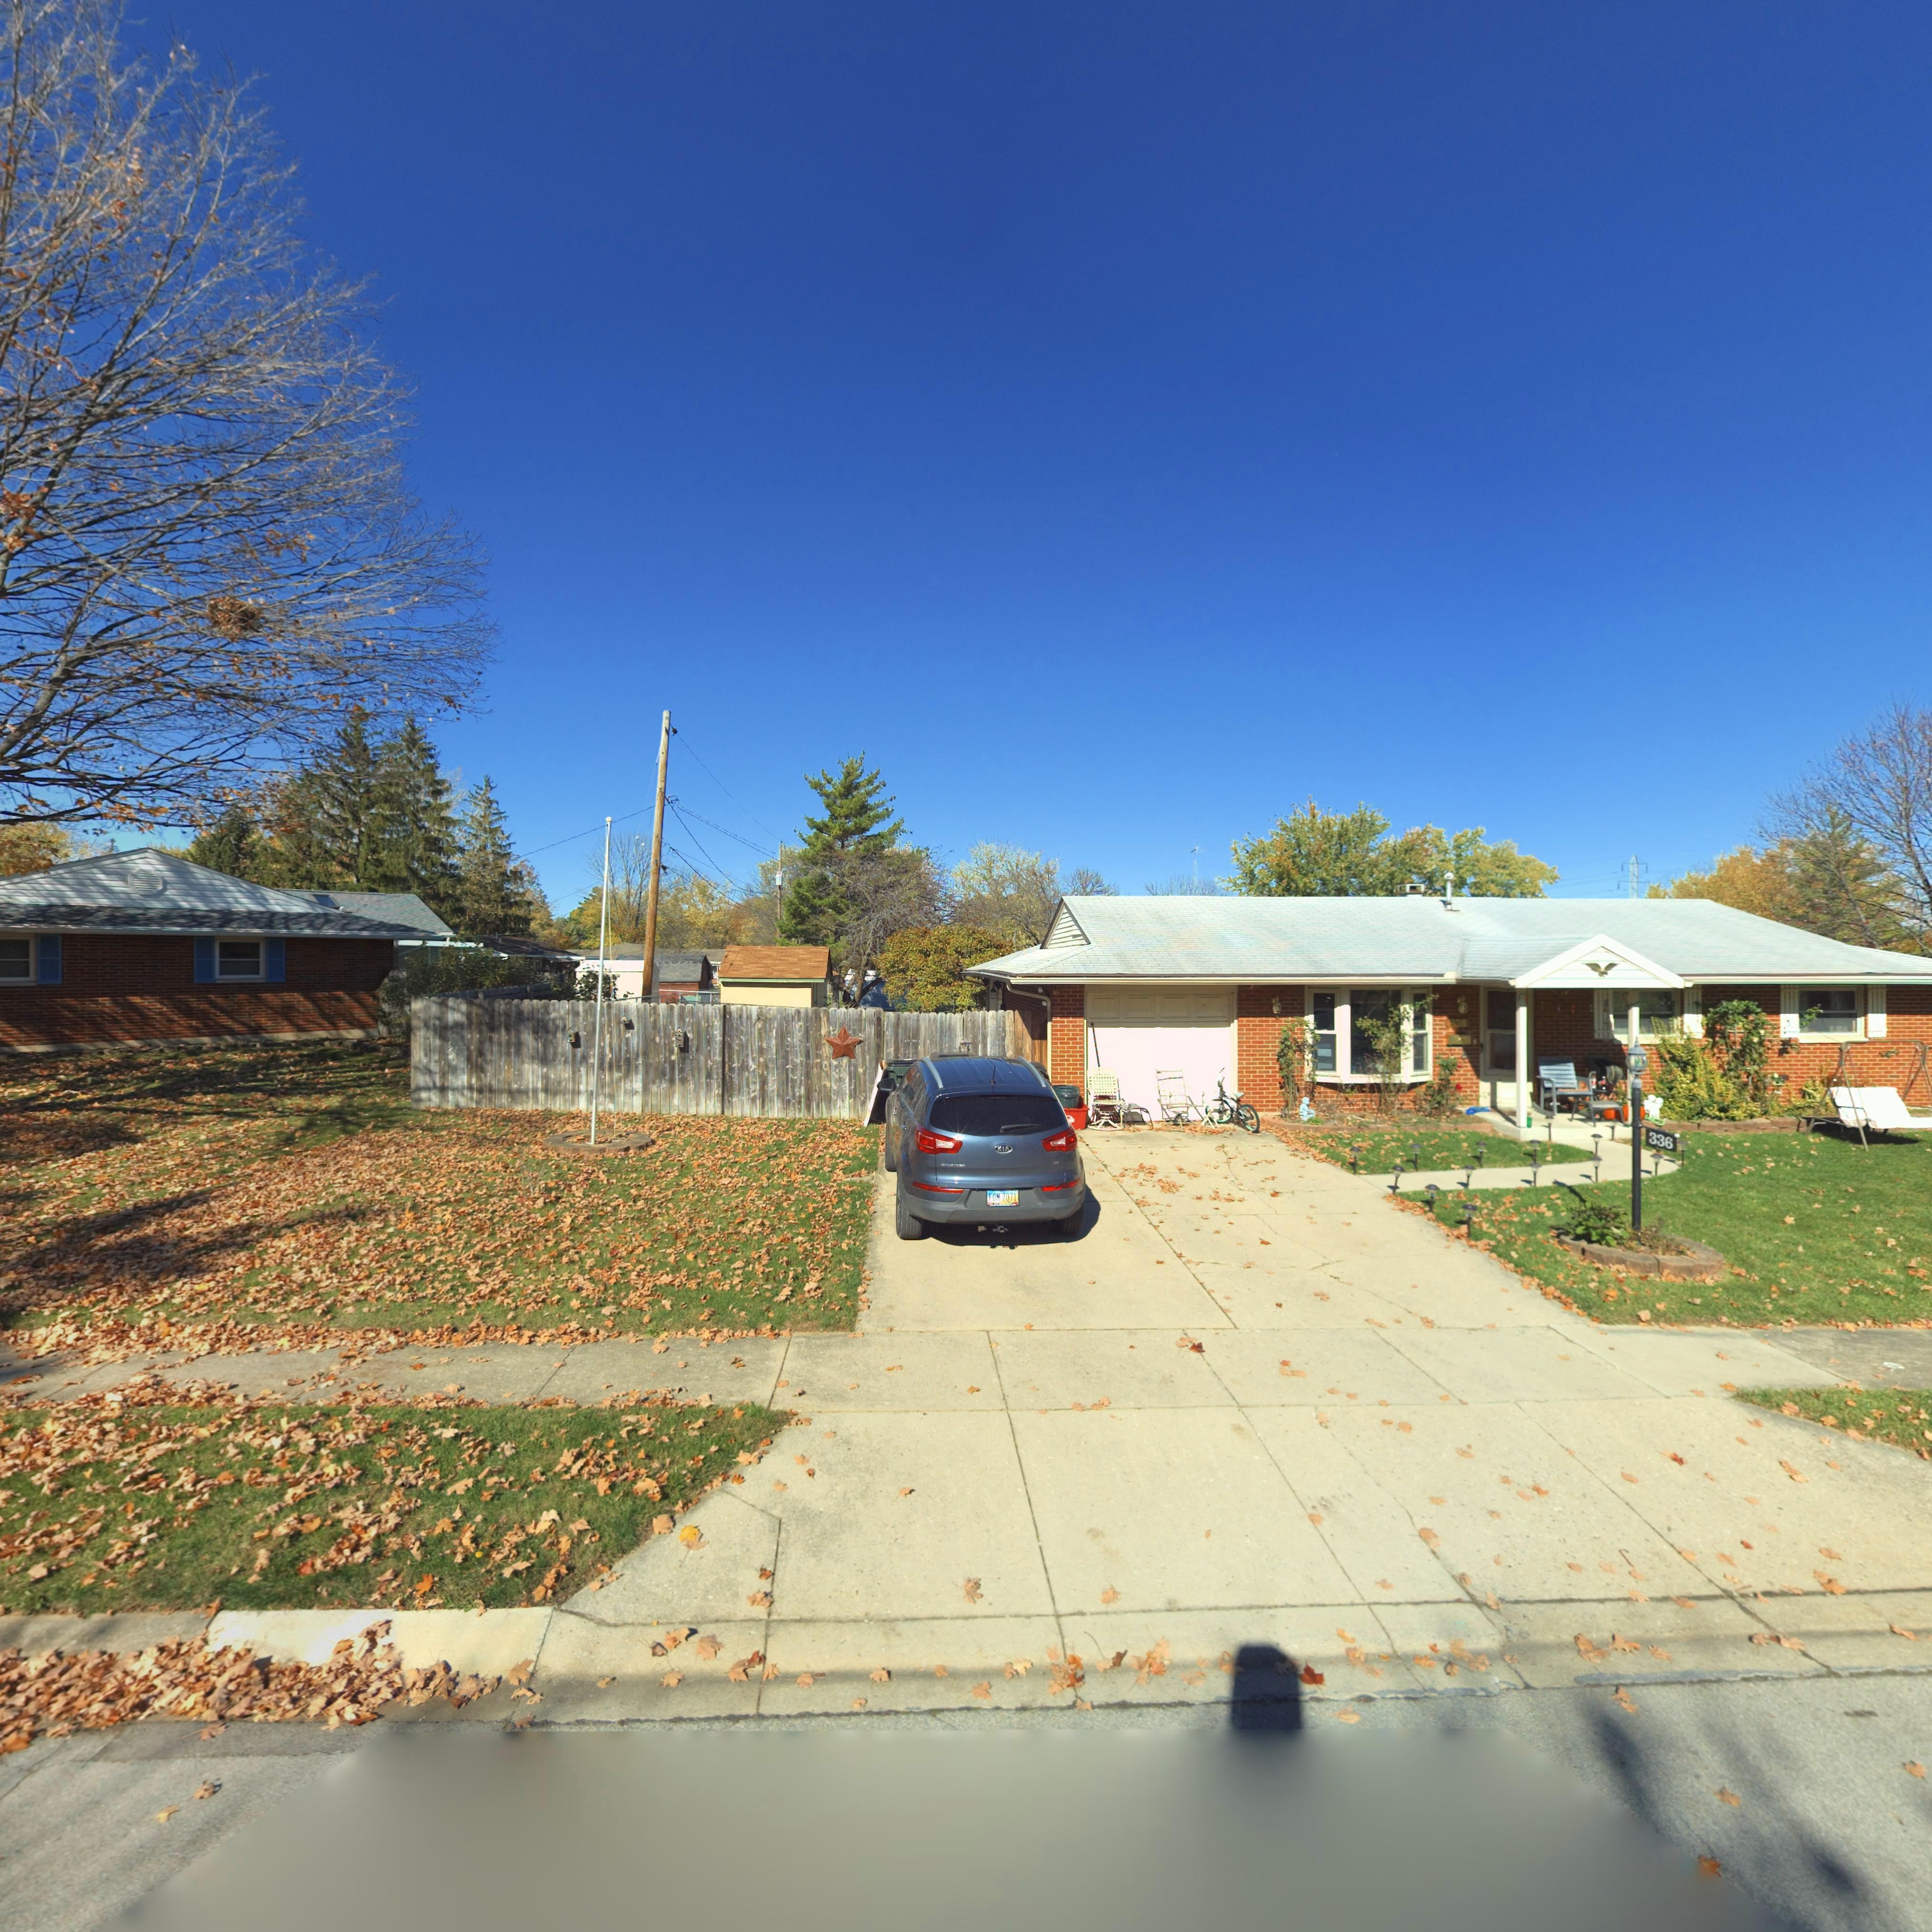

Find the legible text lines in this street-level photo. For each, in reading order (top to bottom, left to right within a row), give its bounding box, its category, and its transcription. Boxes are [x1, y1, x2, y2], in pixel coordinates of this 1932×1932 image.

[1449, 1017, 1468, 1029] StreetNumber: *36
[1648, 1130, 1674, 1151] StreetNumber: 336